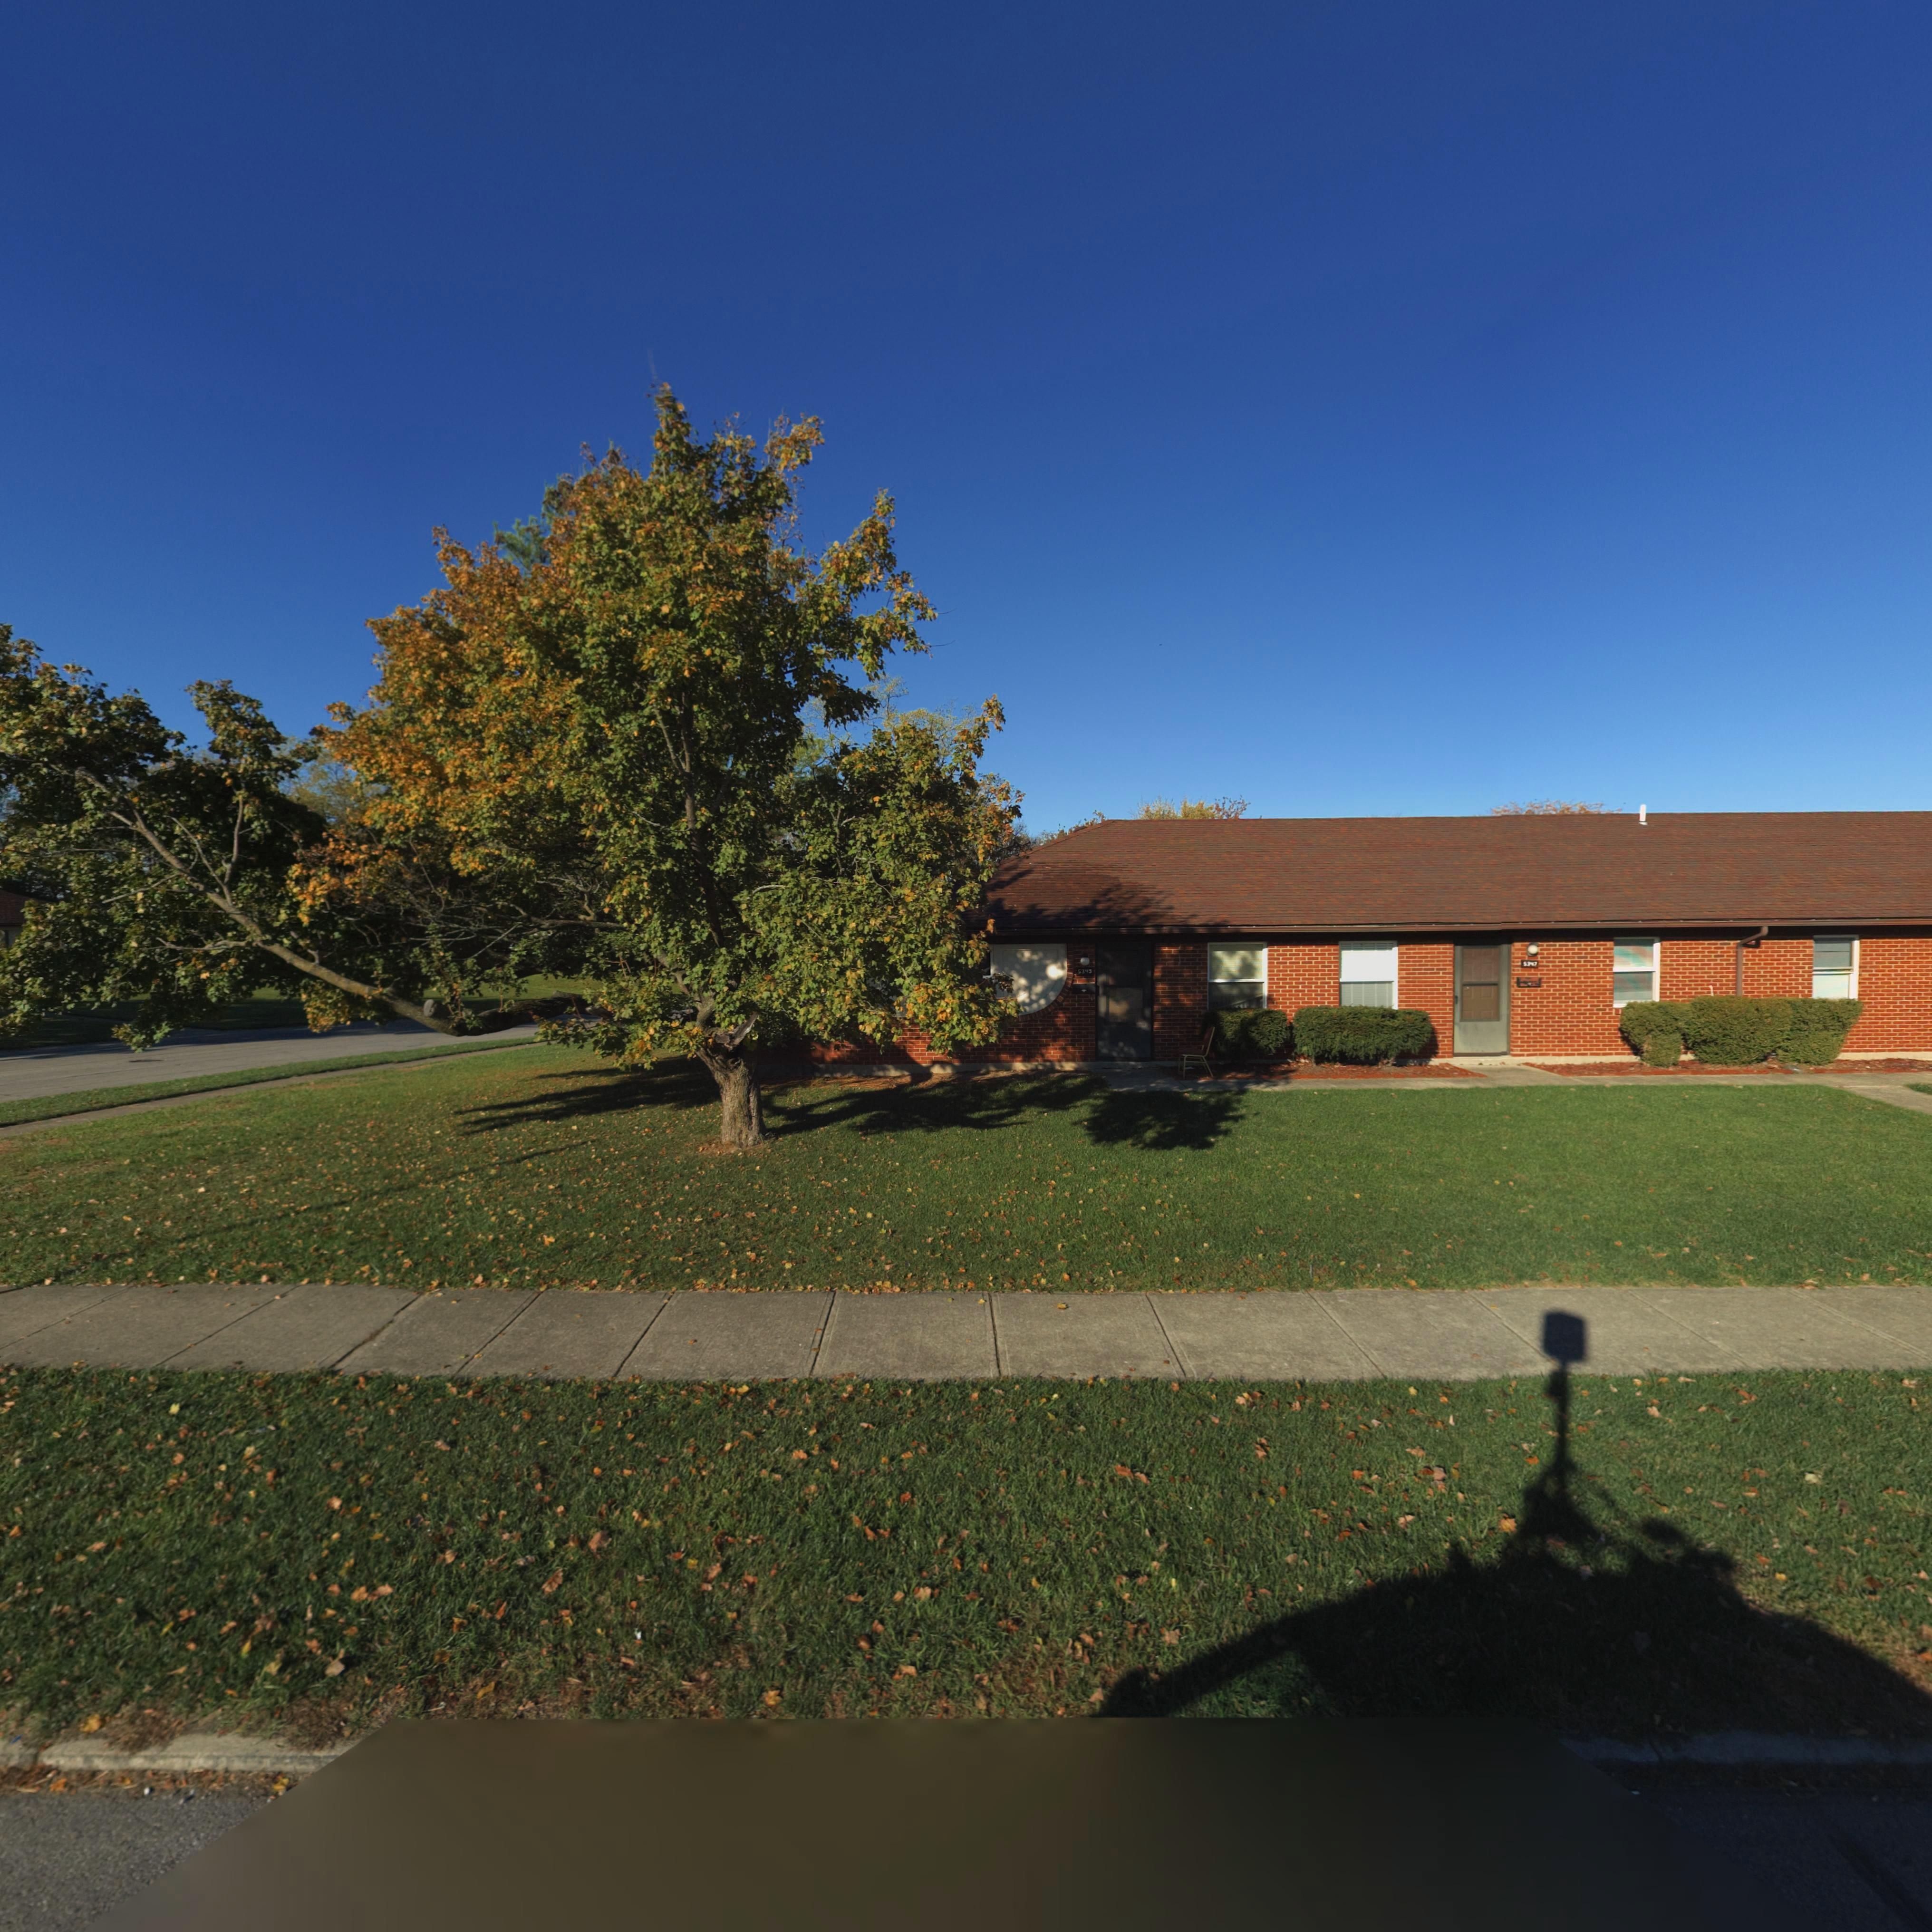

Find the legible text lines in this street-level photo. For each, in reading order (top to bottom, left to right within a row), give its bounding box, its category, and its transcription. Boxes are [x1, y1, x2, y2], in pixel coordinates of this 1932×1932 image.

[1522, 961, 1538, 967] StreetNumber: 5347
[1077, 968, 1093, 974] StreetNumber: 5349